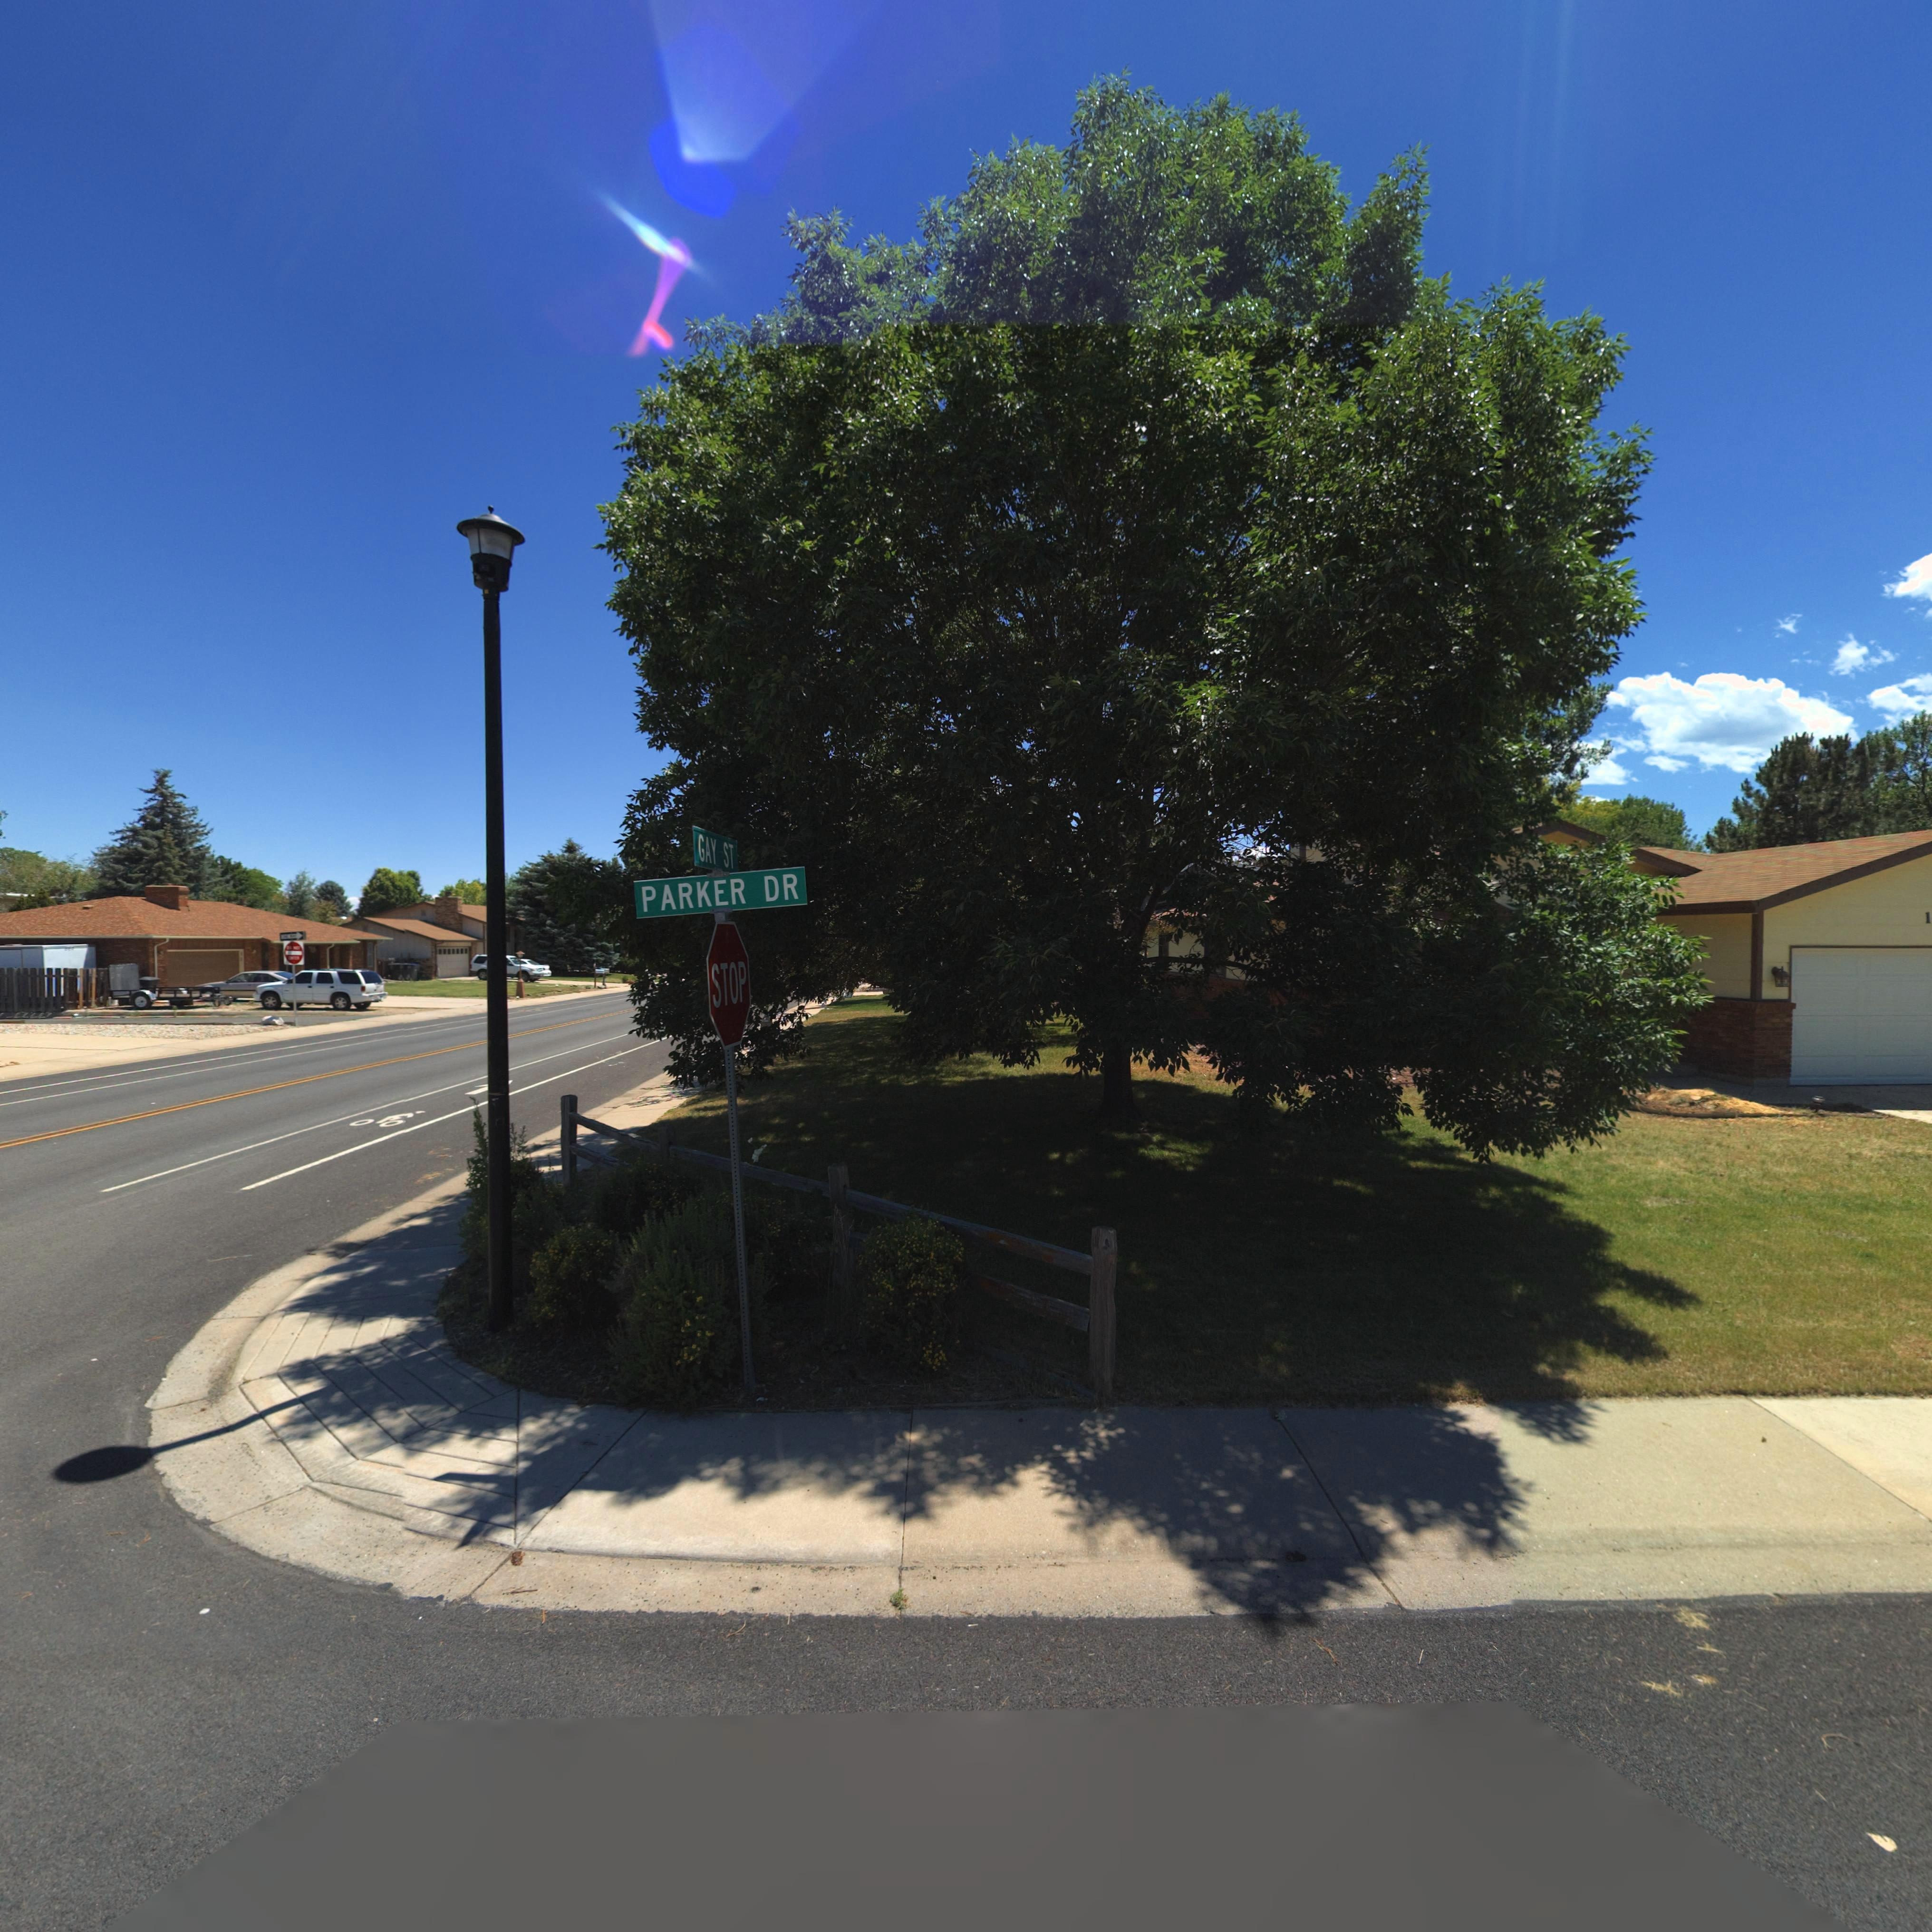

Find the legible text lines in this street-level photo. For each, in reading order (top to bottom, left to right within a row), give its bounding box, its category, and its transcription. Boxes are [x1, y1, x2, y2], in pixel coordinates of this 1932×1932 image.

[698, 833, 733, 870] StreetNumber: GAY ST
[641, 873, 799, 912] StreetName: PARKER DR
[1924, 911, 1931, 924] StreetNumber: 1